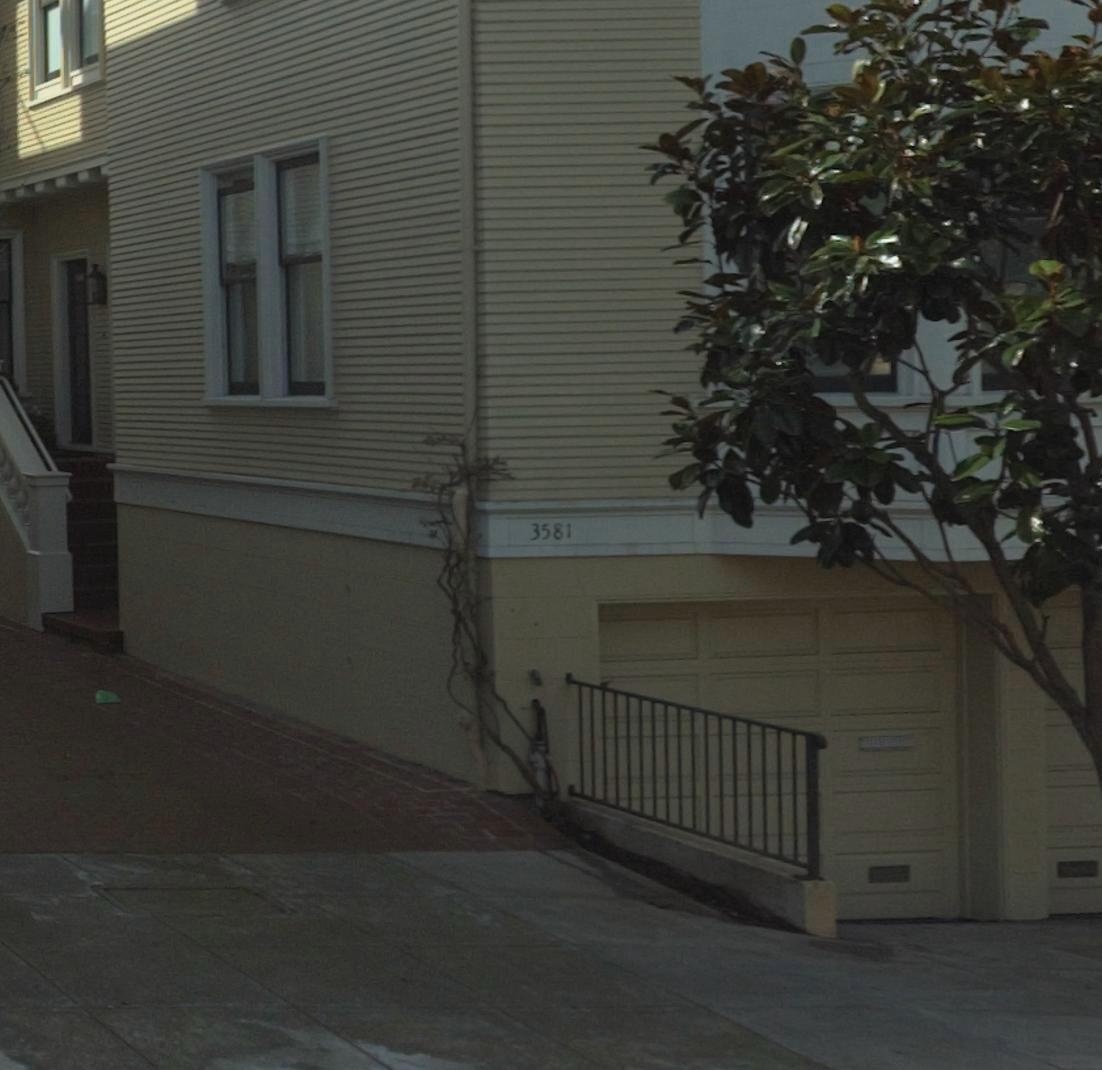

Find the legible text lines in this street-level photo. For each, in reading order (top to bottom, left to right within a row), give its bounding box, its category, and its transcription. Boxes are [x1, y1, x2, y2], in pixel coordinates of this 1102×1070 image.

[528, 520, 573, 542] StreetNumber: 3581